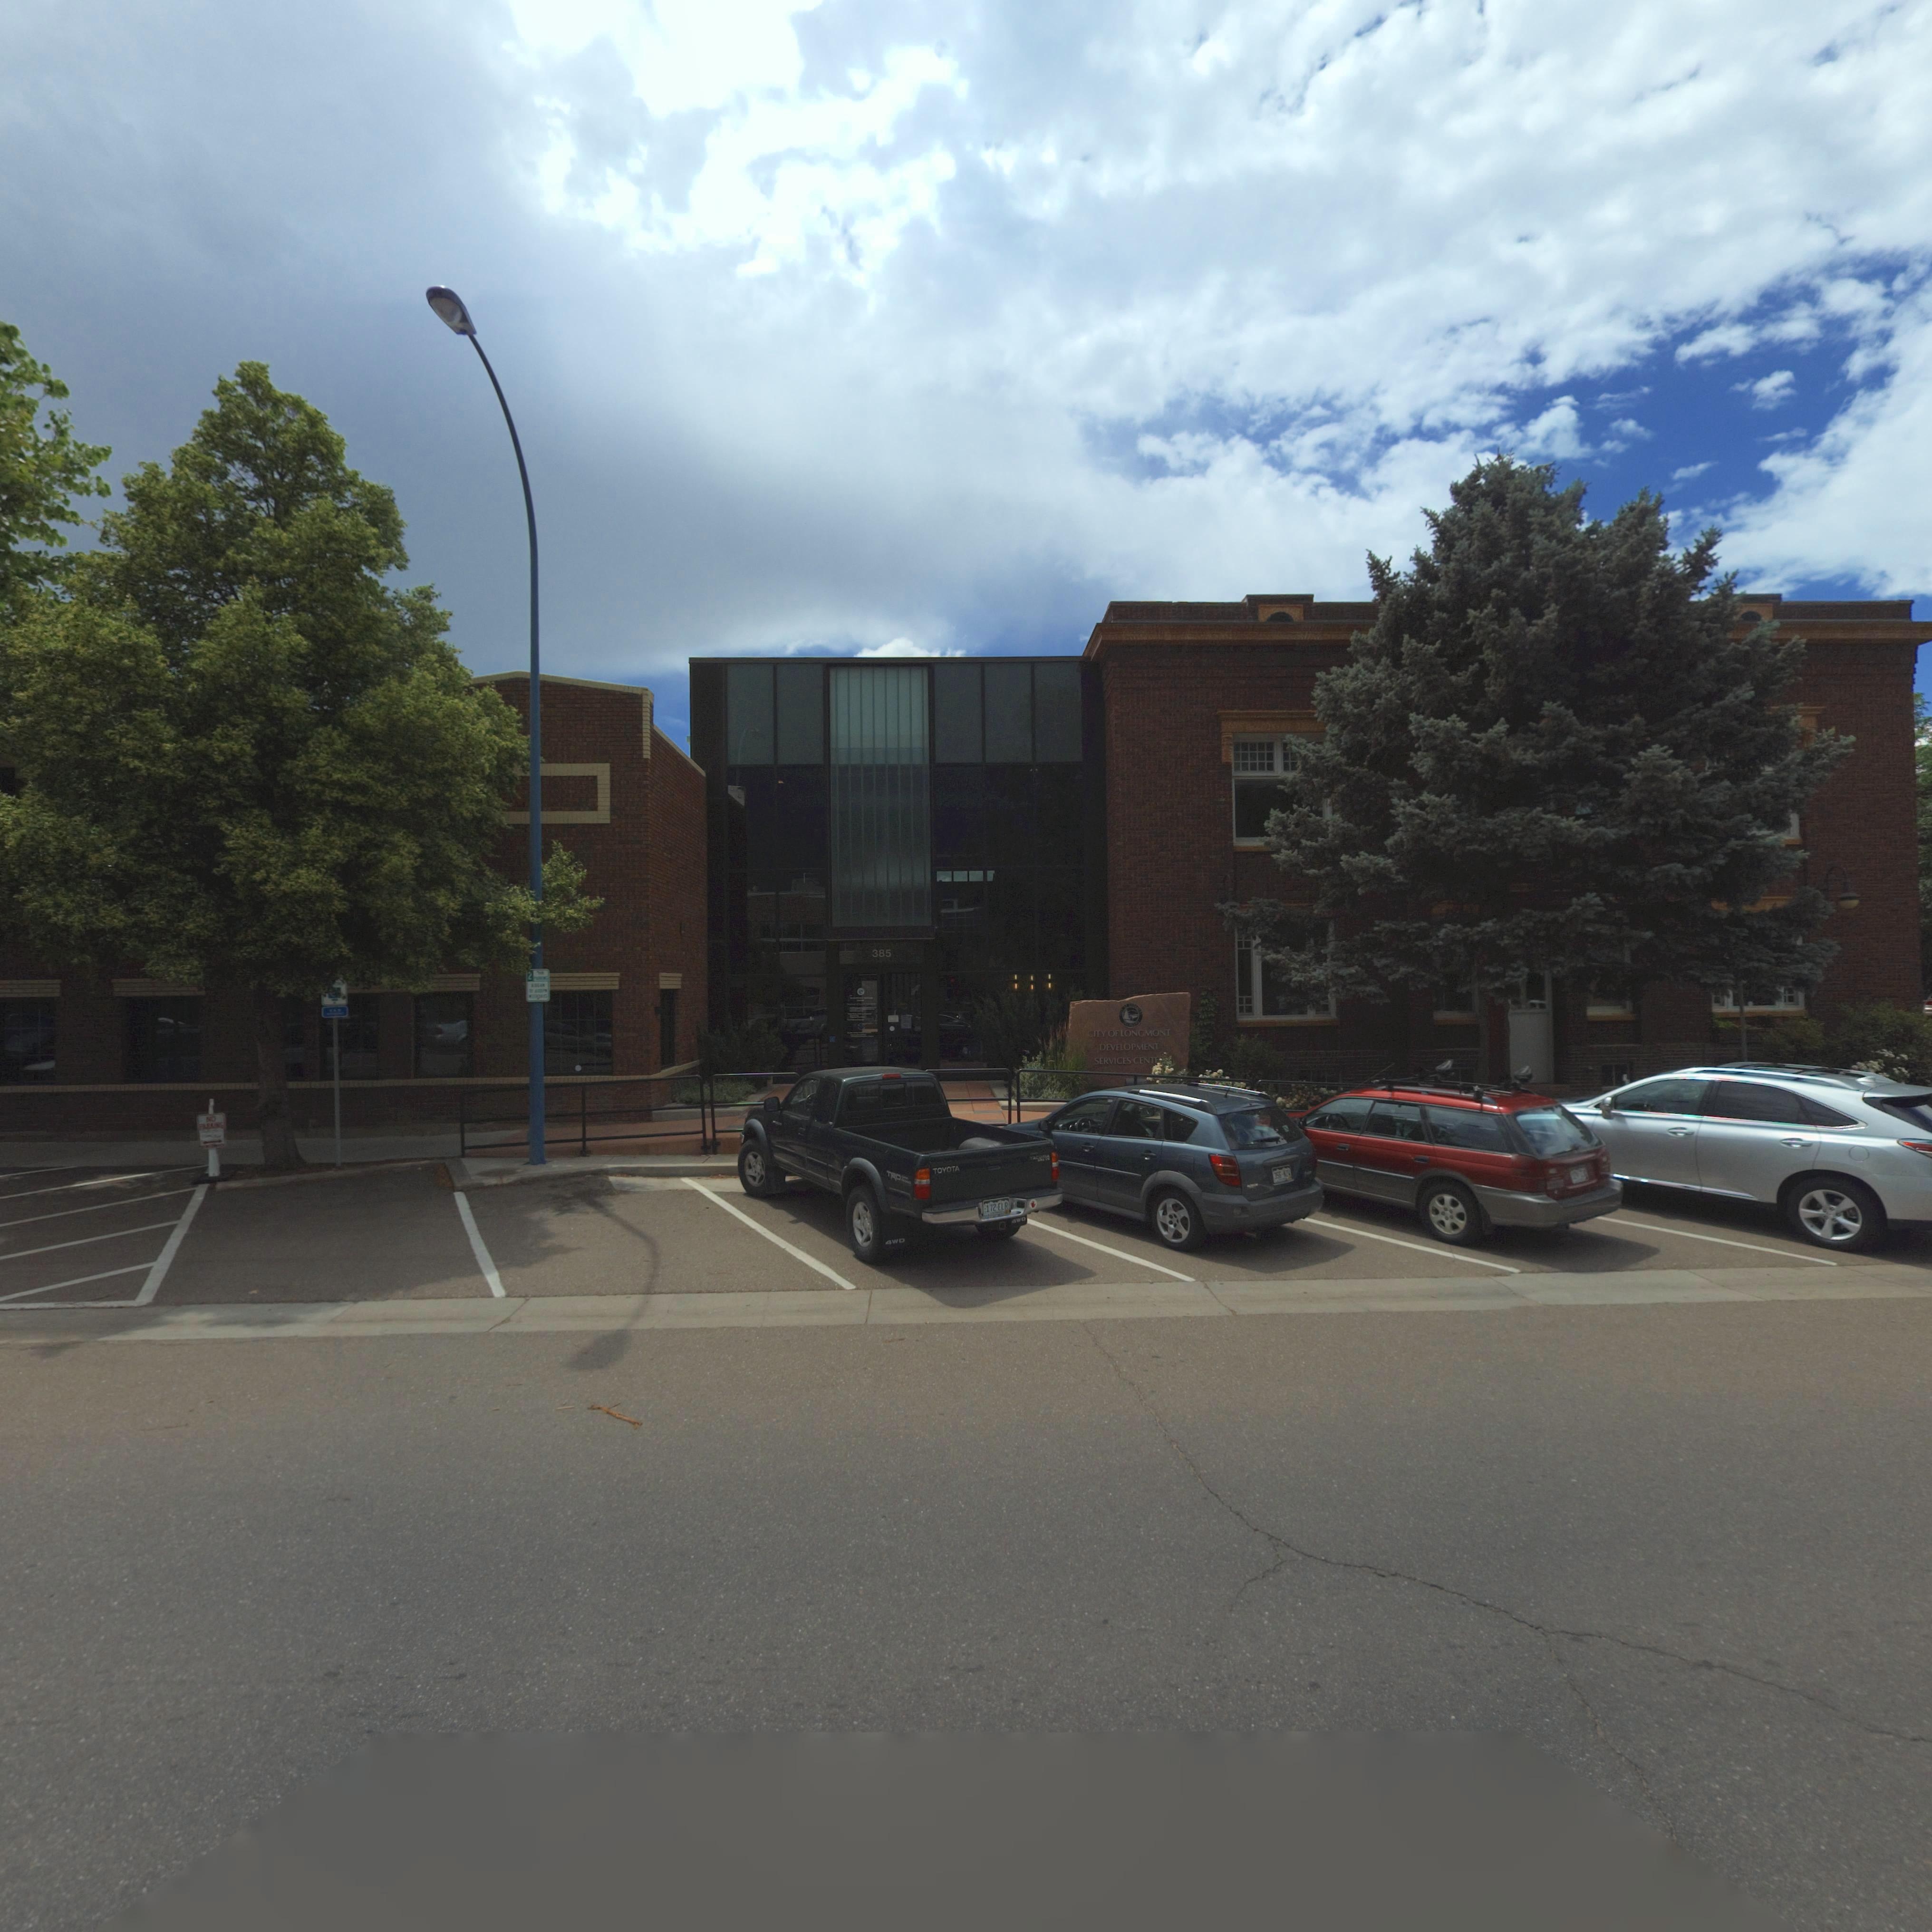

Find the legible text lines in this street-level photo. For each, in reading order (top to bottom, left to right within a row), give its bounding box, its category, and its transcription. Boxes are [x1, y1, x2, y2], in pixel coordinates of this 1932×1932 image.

[871, 949, 892, 957] StreetNumber: 385
[1087, 1029, 1171, 1037] BusinessName: CITY OF LONGMONT
[1100, 1043, 1159, 1051] BusinessName: DEVELOPMENT
[1094, 1056, 1160, 1064] BusinessName: SERVICES CENTE